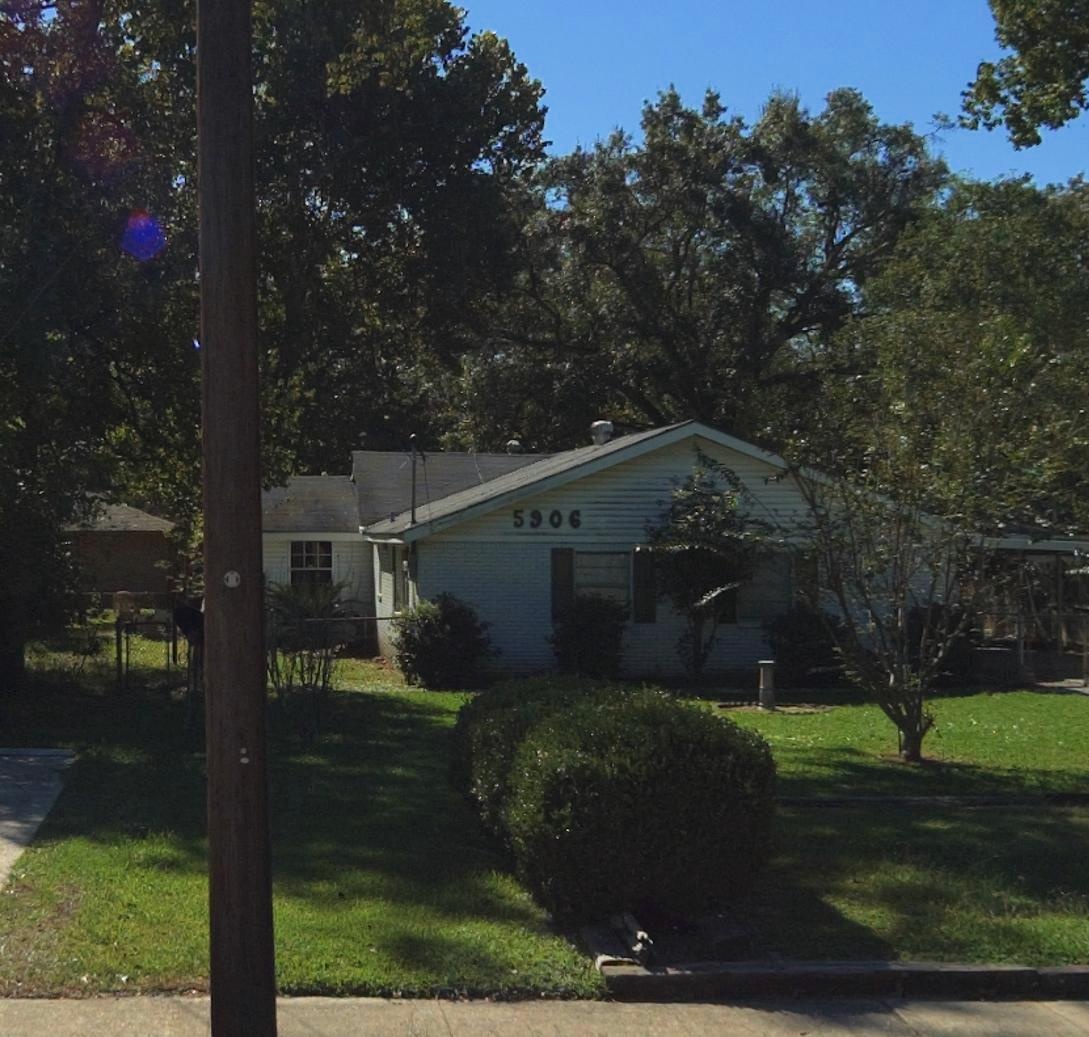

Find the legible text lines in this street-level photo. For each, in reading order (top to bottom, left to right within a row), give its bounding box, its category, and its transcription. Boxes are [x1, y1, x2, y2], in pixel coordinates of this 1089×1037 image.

[512, 508, 582, 529] StreetNumber: 5906